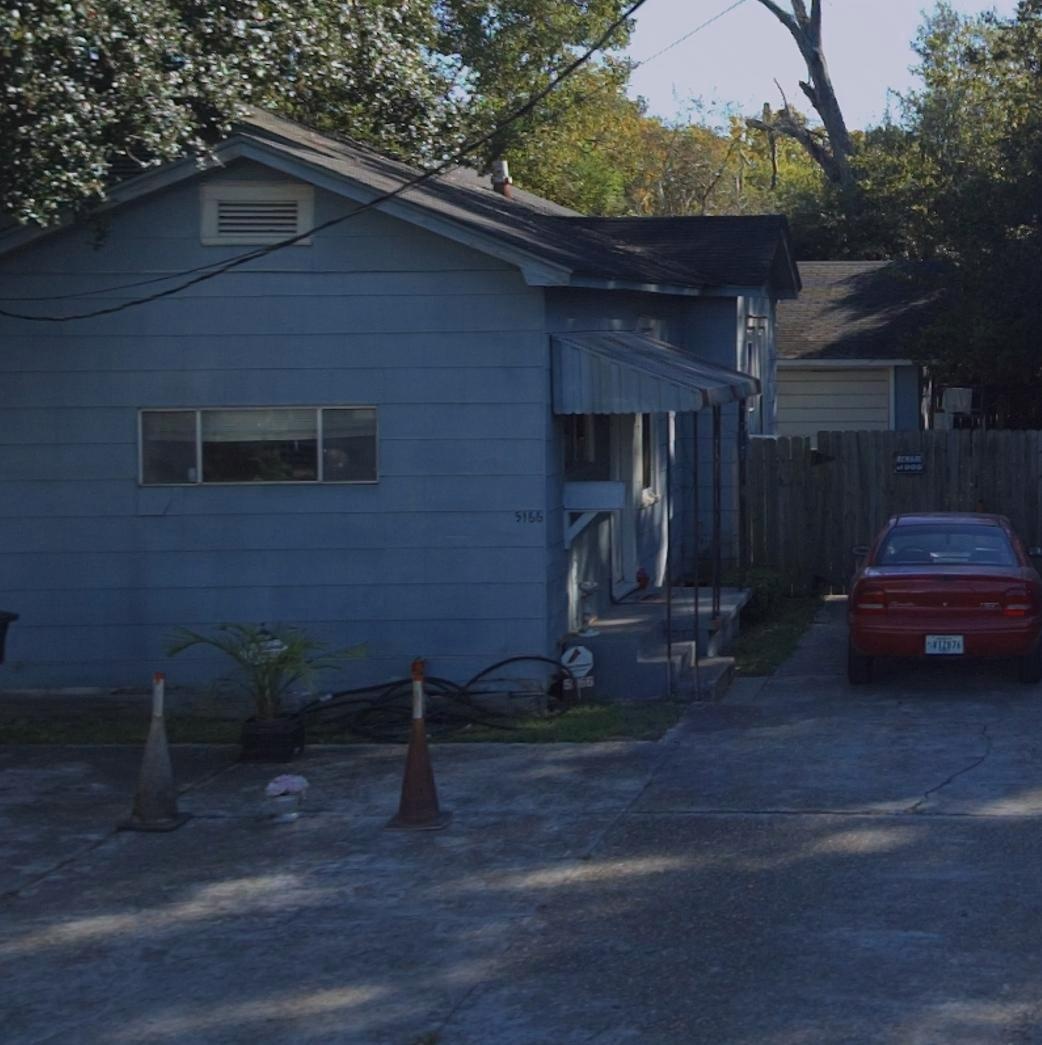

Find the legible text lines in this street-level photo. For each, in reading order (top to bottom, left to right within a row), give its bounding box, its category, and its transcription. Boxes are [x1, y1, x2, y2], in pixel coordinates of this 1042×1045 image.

[894, 454, 920, 461] None: BEWARE\
[896, 463, 922, 470] None: of DOG
[514, 510, 544, 524] StreetNumber: 5166
[945, 639, 962, 650] None: 876